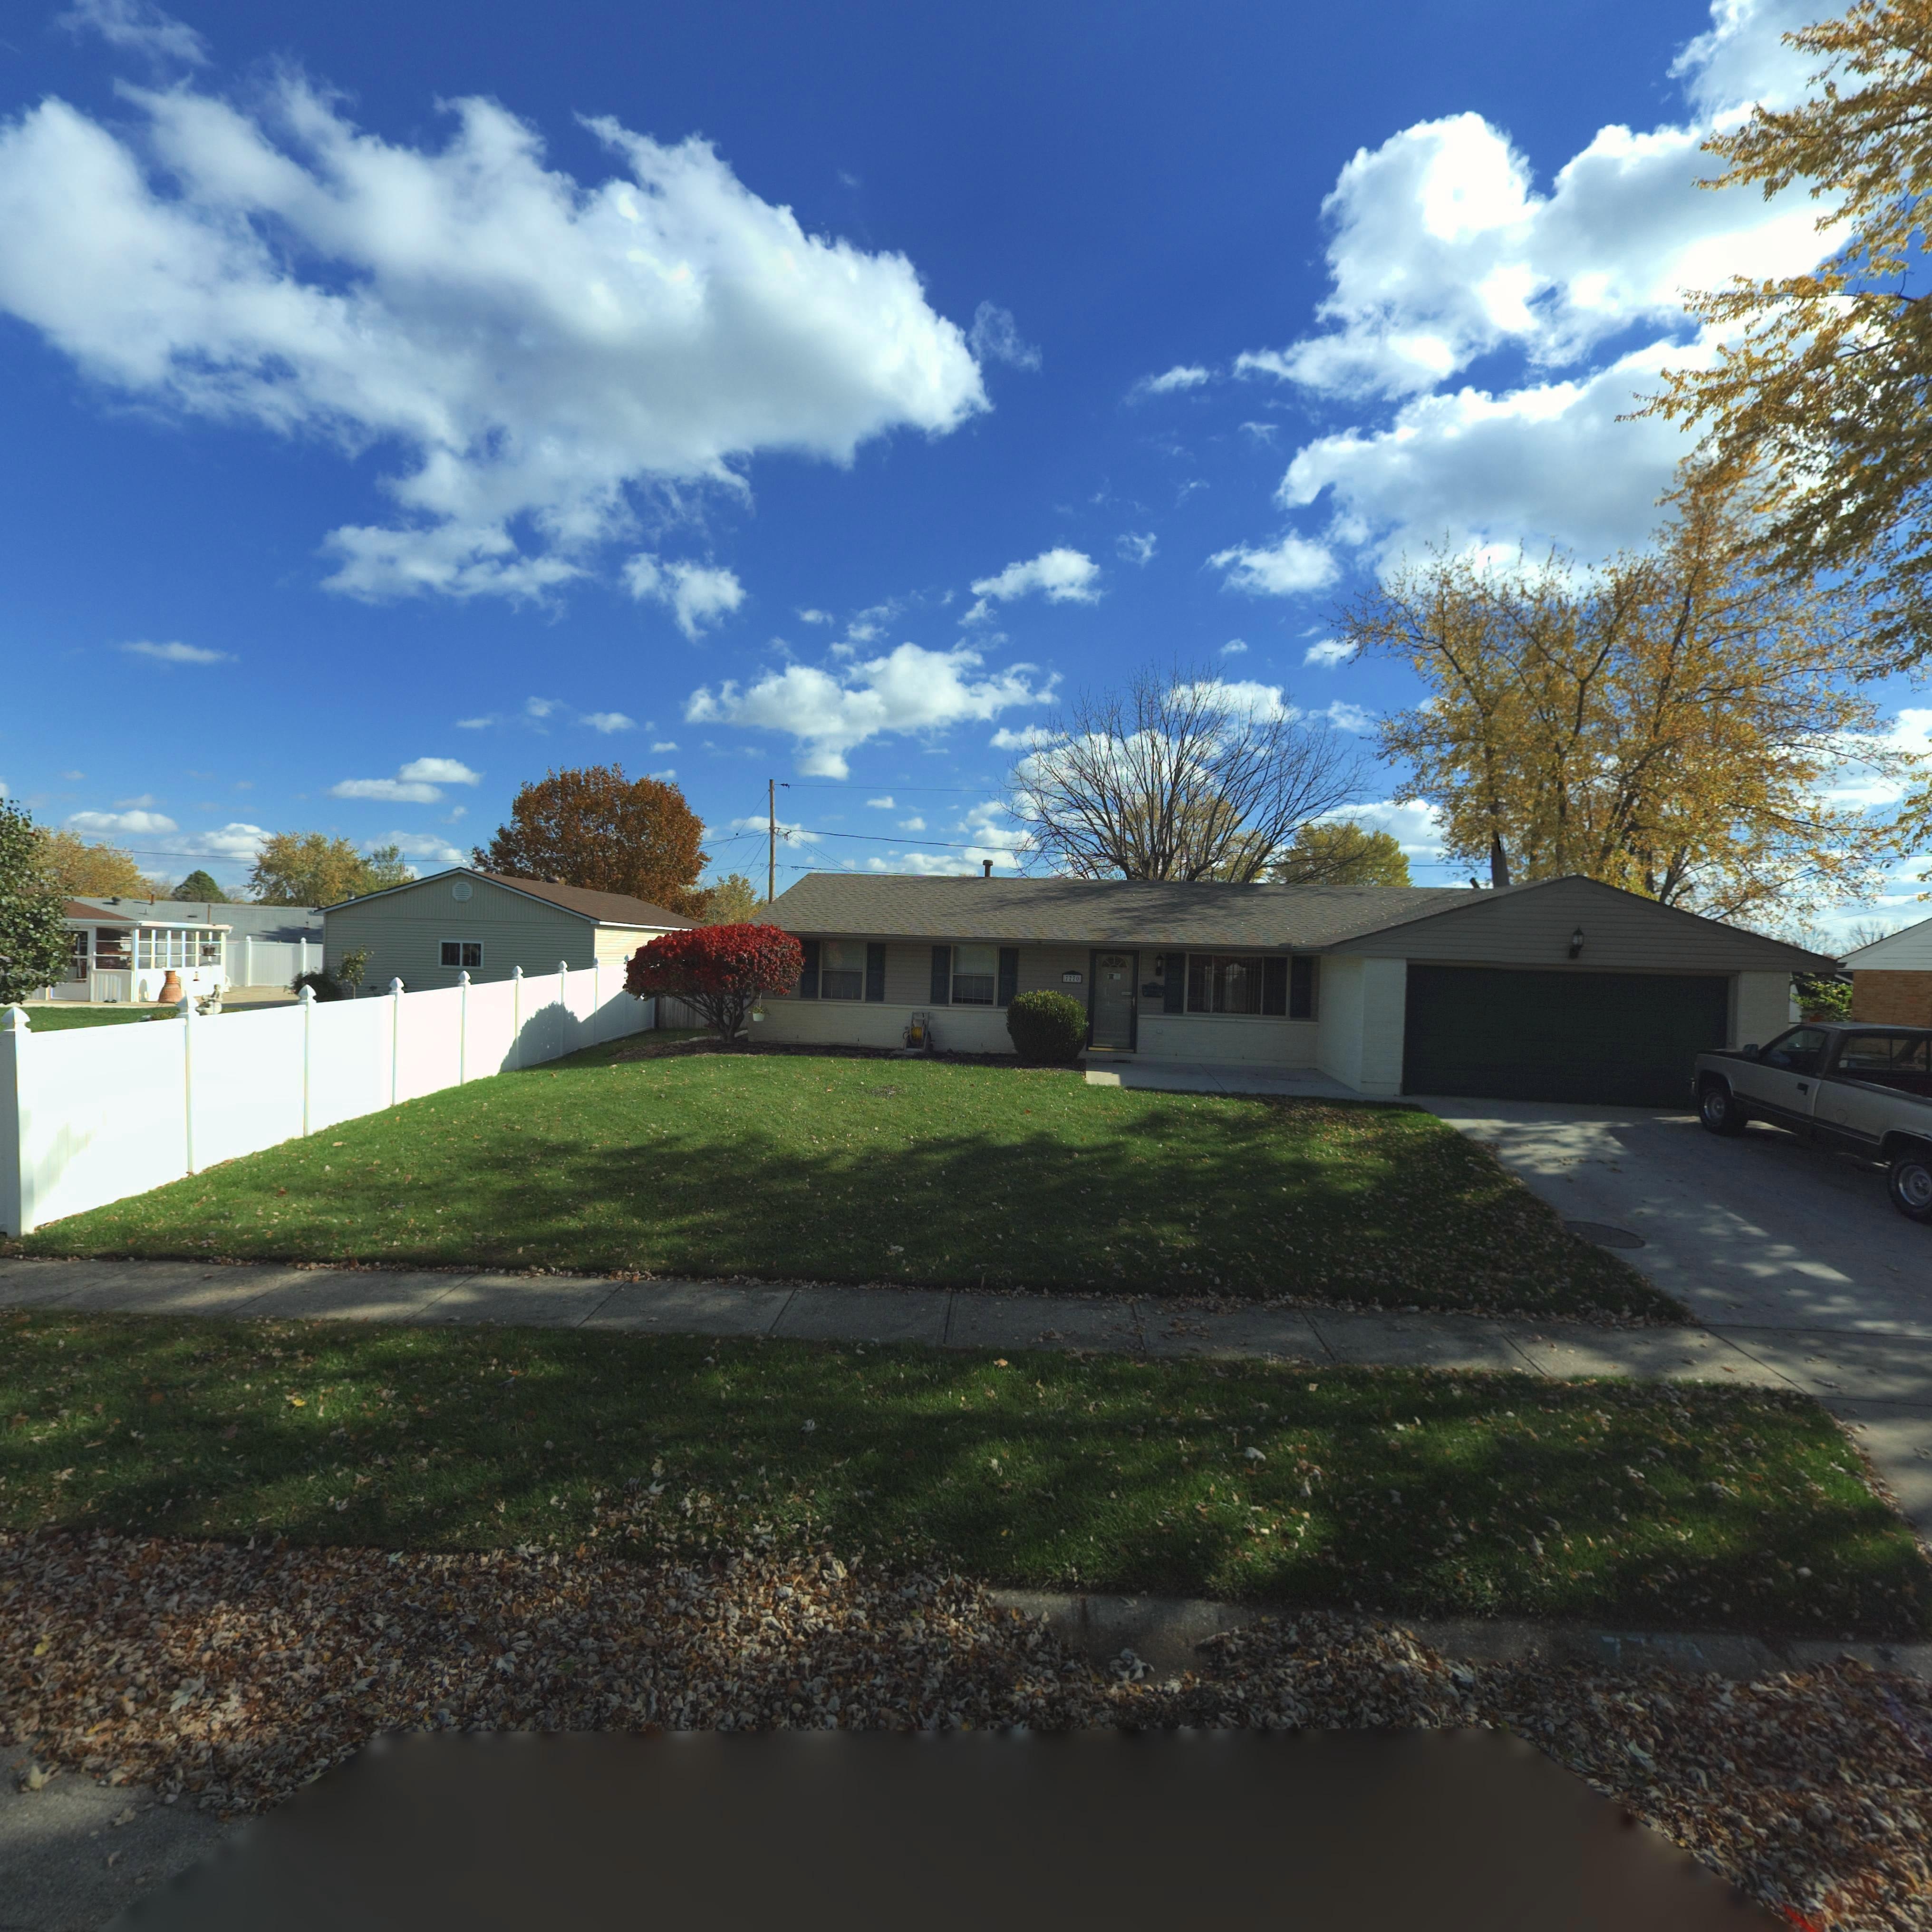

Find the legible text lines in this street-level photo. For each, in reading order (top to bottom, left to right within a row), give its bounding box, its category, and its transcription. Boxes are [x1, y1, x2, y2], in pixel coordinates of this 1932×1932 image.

[1065, 975, 1079, 982] StreetNumber: 7770